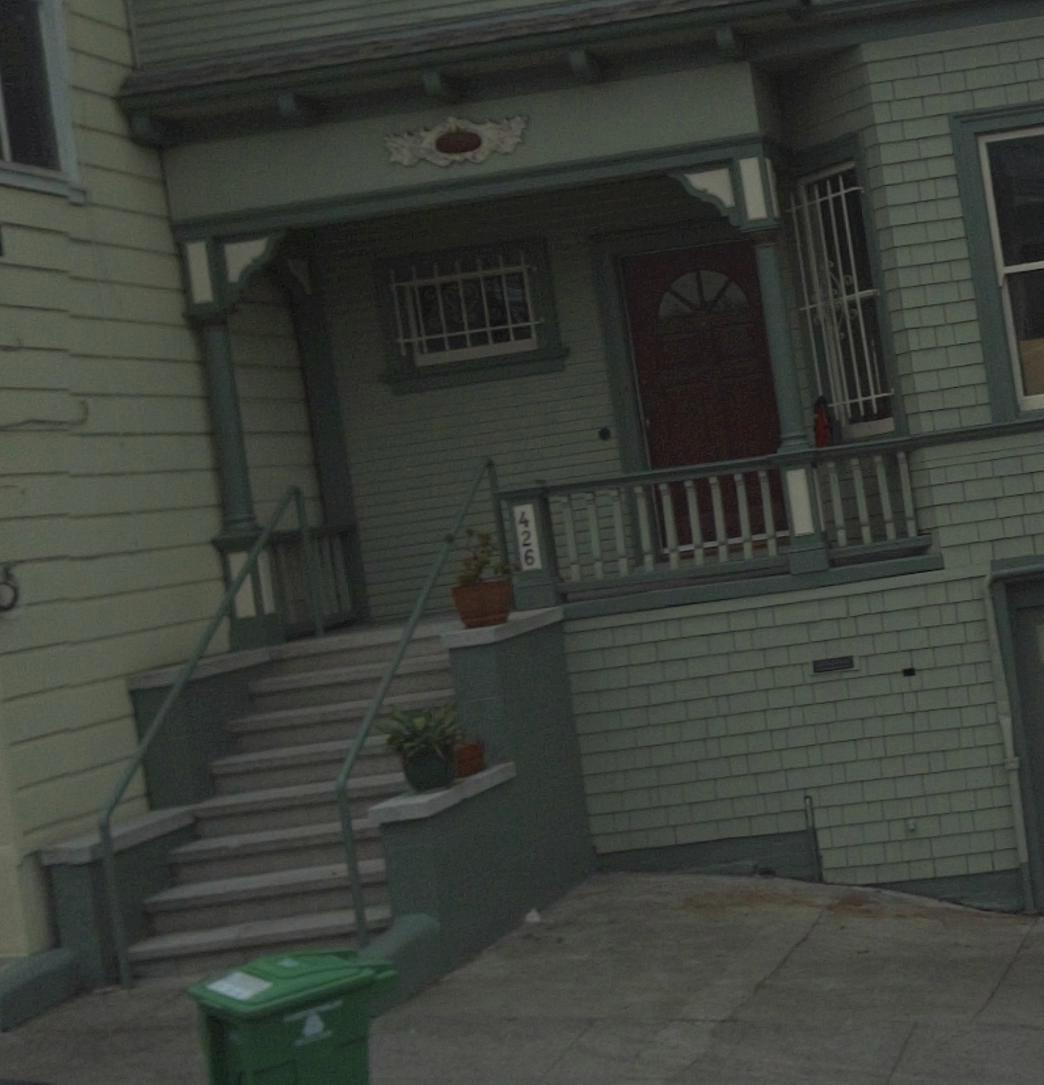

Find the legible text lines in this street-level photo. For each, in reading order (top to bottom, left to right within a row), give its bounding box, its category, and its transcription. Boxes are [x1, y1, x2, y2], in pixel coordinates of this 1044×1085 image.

[516, 510, 538, 568] StreetNumber: 426